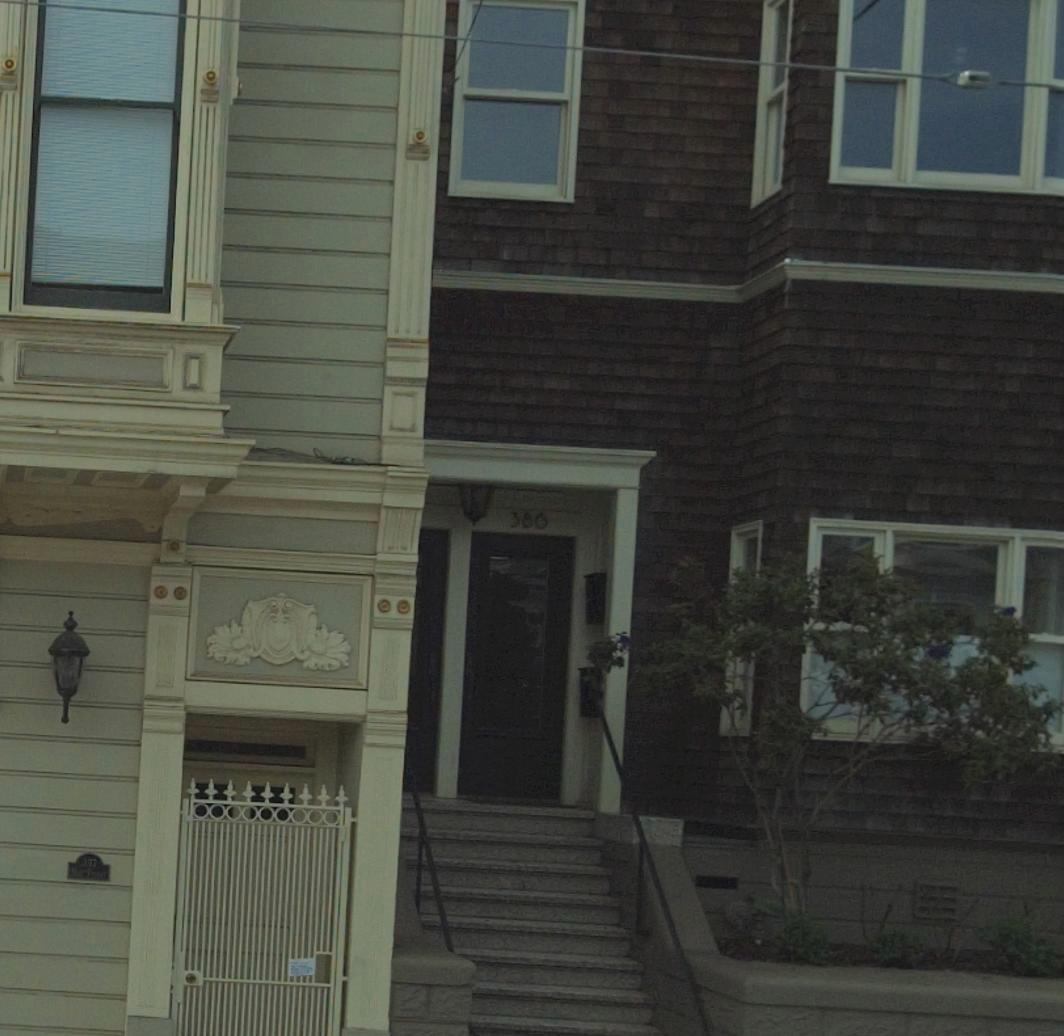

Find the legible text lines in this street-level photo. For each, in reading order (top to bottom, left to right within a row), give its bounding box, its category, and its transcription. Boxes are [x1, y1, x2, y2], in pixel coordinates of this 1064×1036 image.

[508, 510, 549, 529] StreetNumber: 386